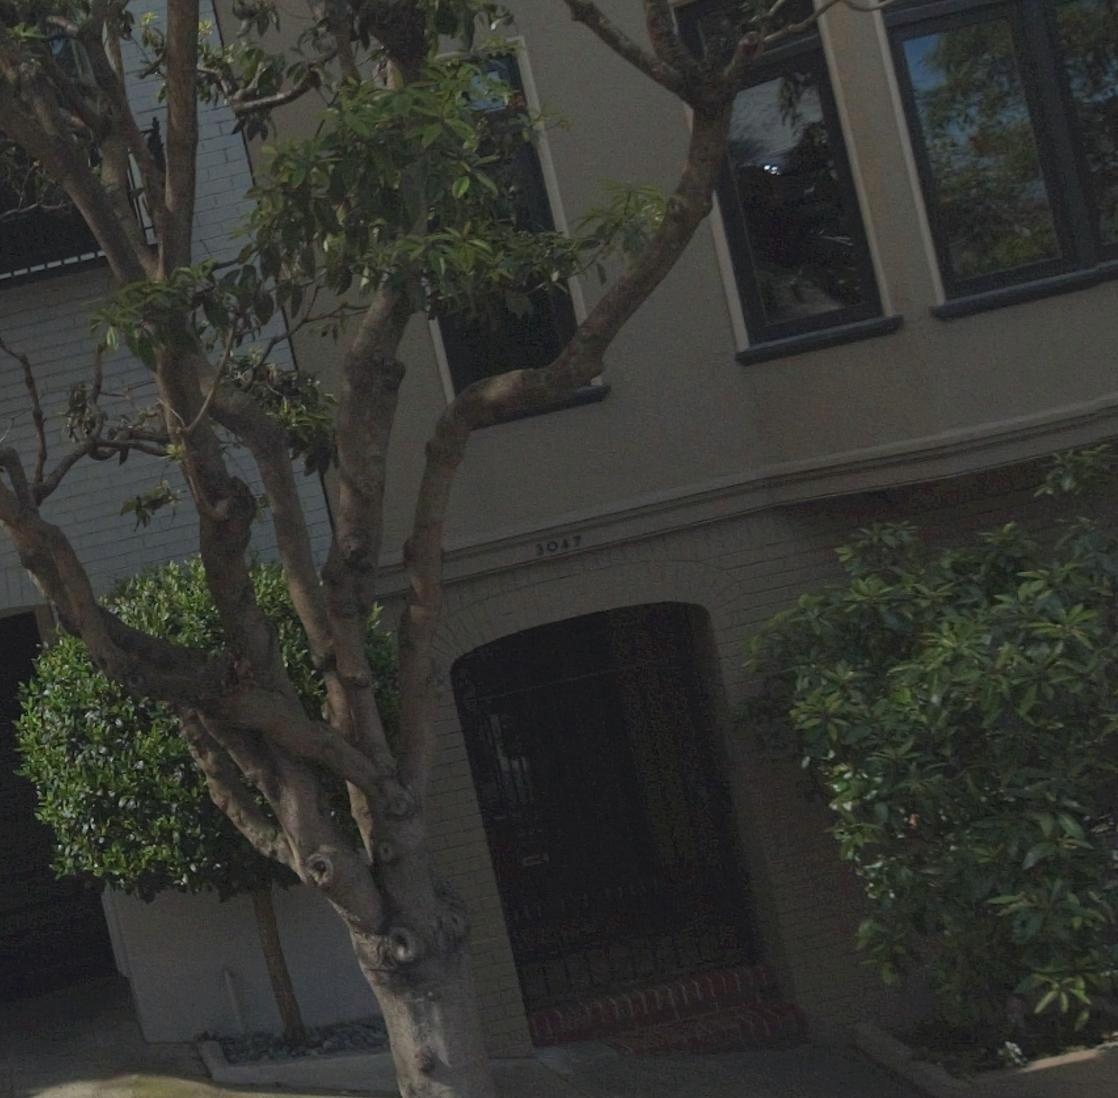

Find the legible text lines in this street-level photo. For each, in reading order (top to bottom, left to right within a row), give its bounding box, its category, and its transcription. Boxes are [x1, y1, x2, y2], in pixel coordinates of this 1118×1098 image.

[533, 532, 586, 561] StreetNumber: 3047